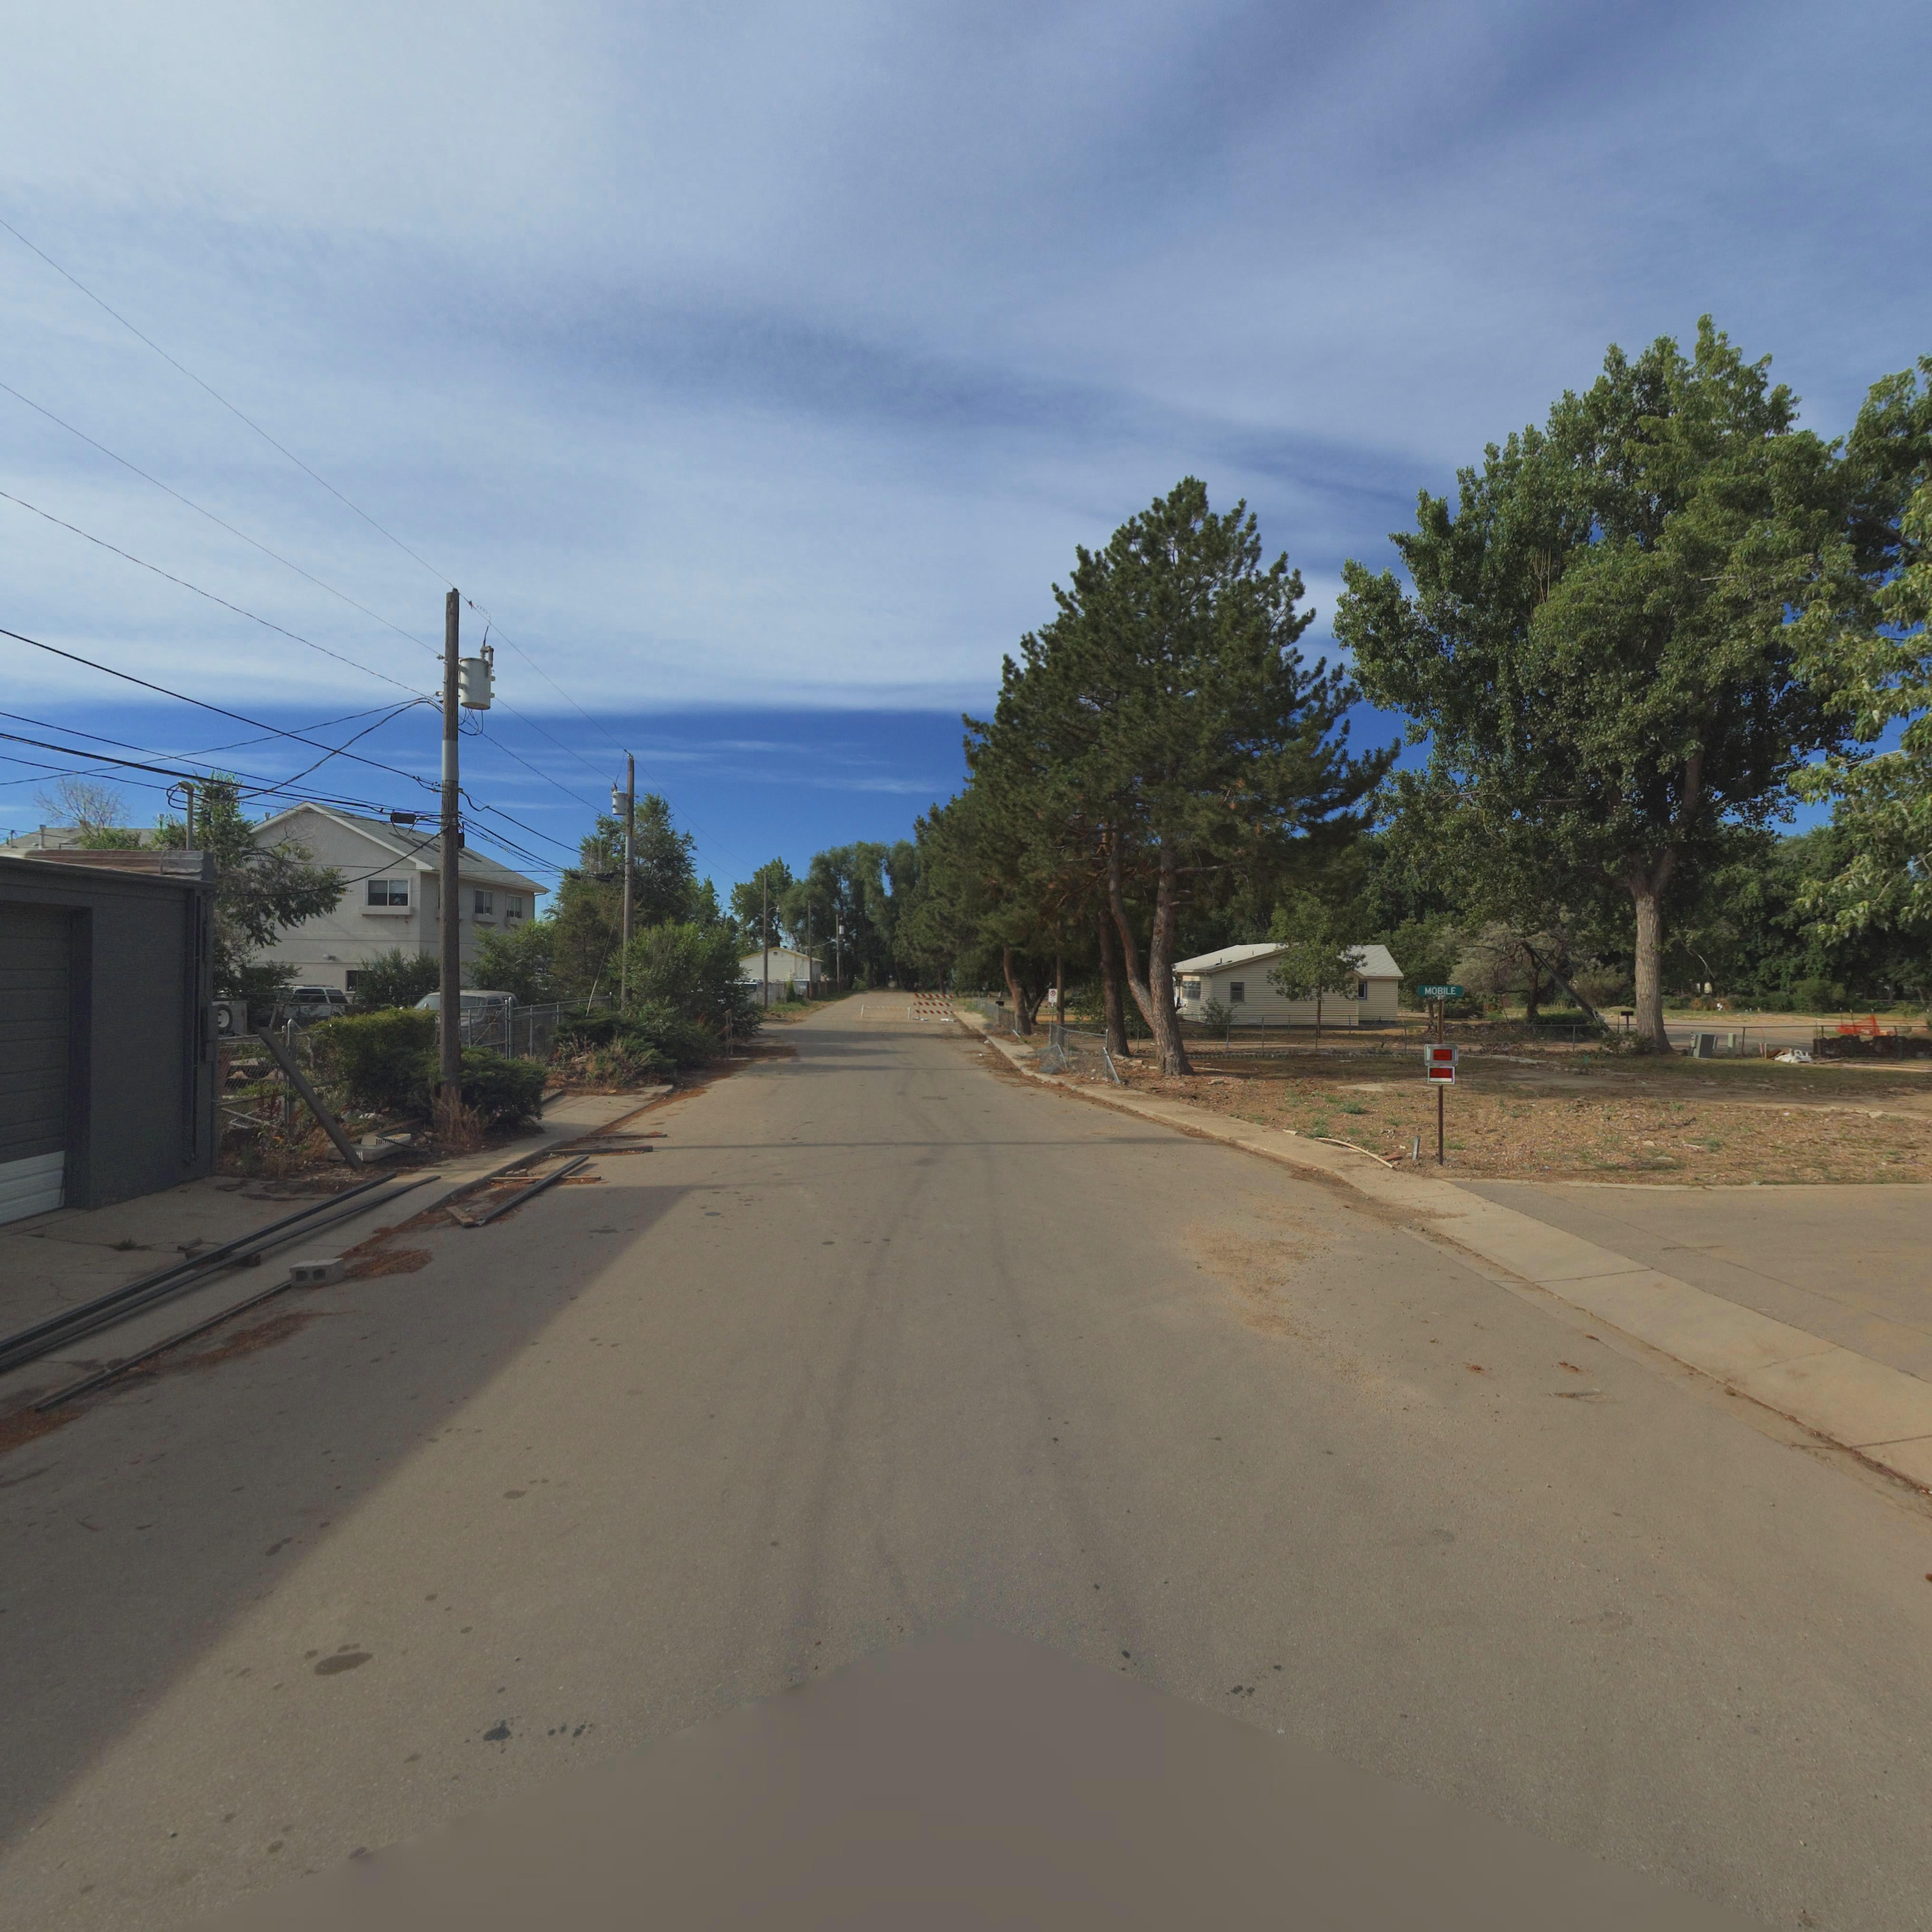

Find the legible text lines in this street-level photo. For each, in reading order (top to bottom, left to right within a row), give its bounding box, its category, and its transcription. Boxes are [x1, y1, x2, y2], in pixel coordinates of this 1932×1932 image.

[1424, 986, 1456, 995] StreetName: MOBILE